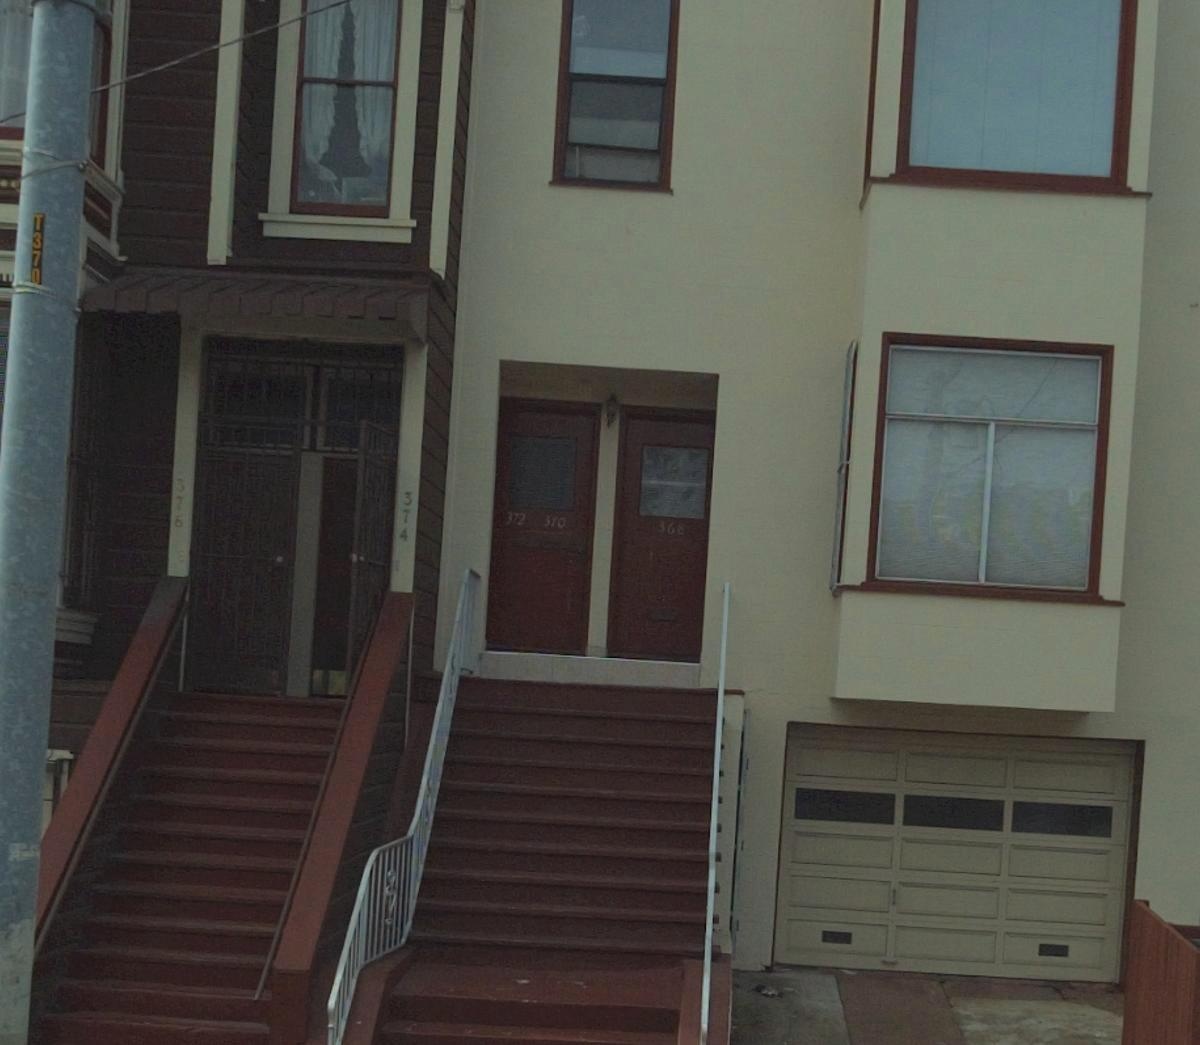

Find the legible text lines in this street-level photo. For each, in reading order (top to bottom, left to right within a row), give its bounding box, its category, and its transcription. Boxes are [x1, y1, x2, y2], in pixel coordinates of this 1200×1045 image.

[31, 213, 44, 286] None: T370
[175, 477, 186, 529] StreetNumber: 376
[398, 490, 414, 542] StreetNumber: 374
[505, 510, 527, 526] StreetNumber: 372
[542, 513, 568, 529] StreetNumber: 370
[657, 520, 687, 536] StreetNumber: 368